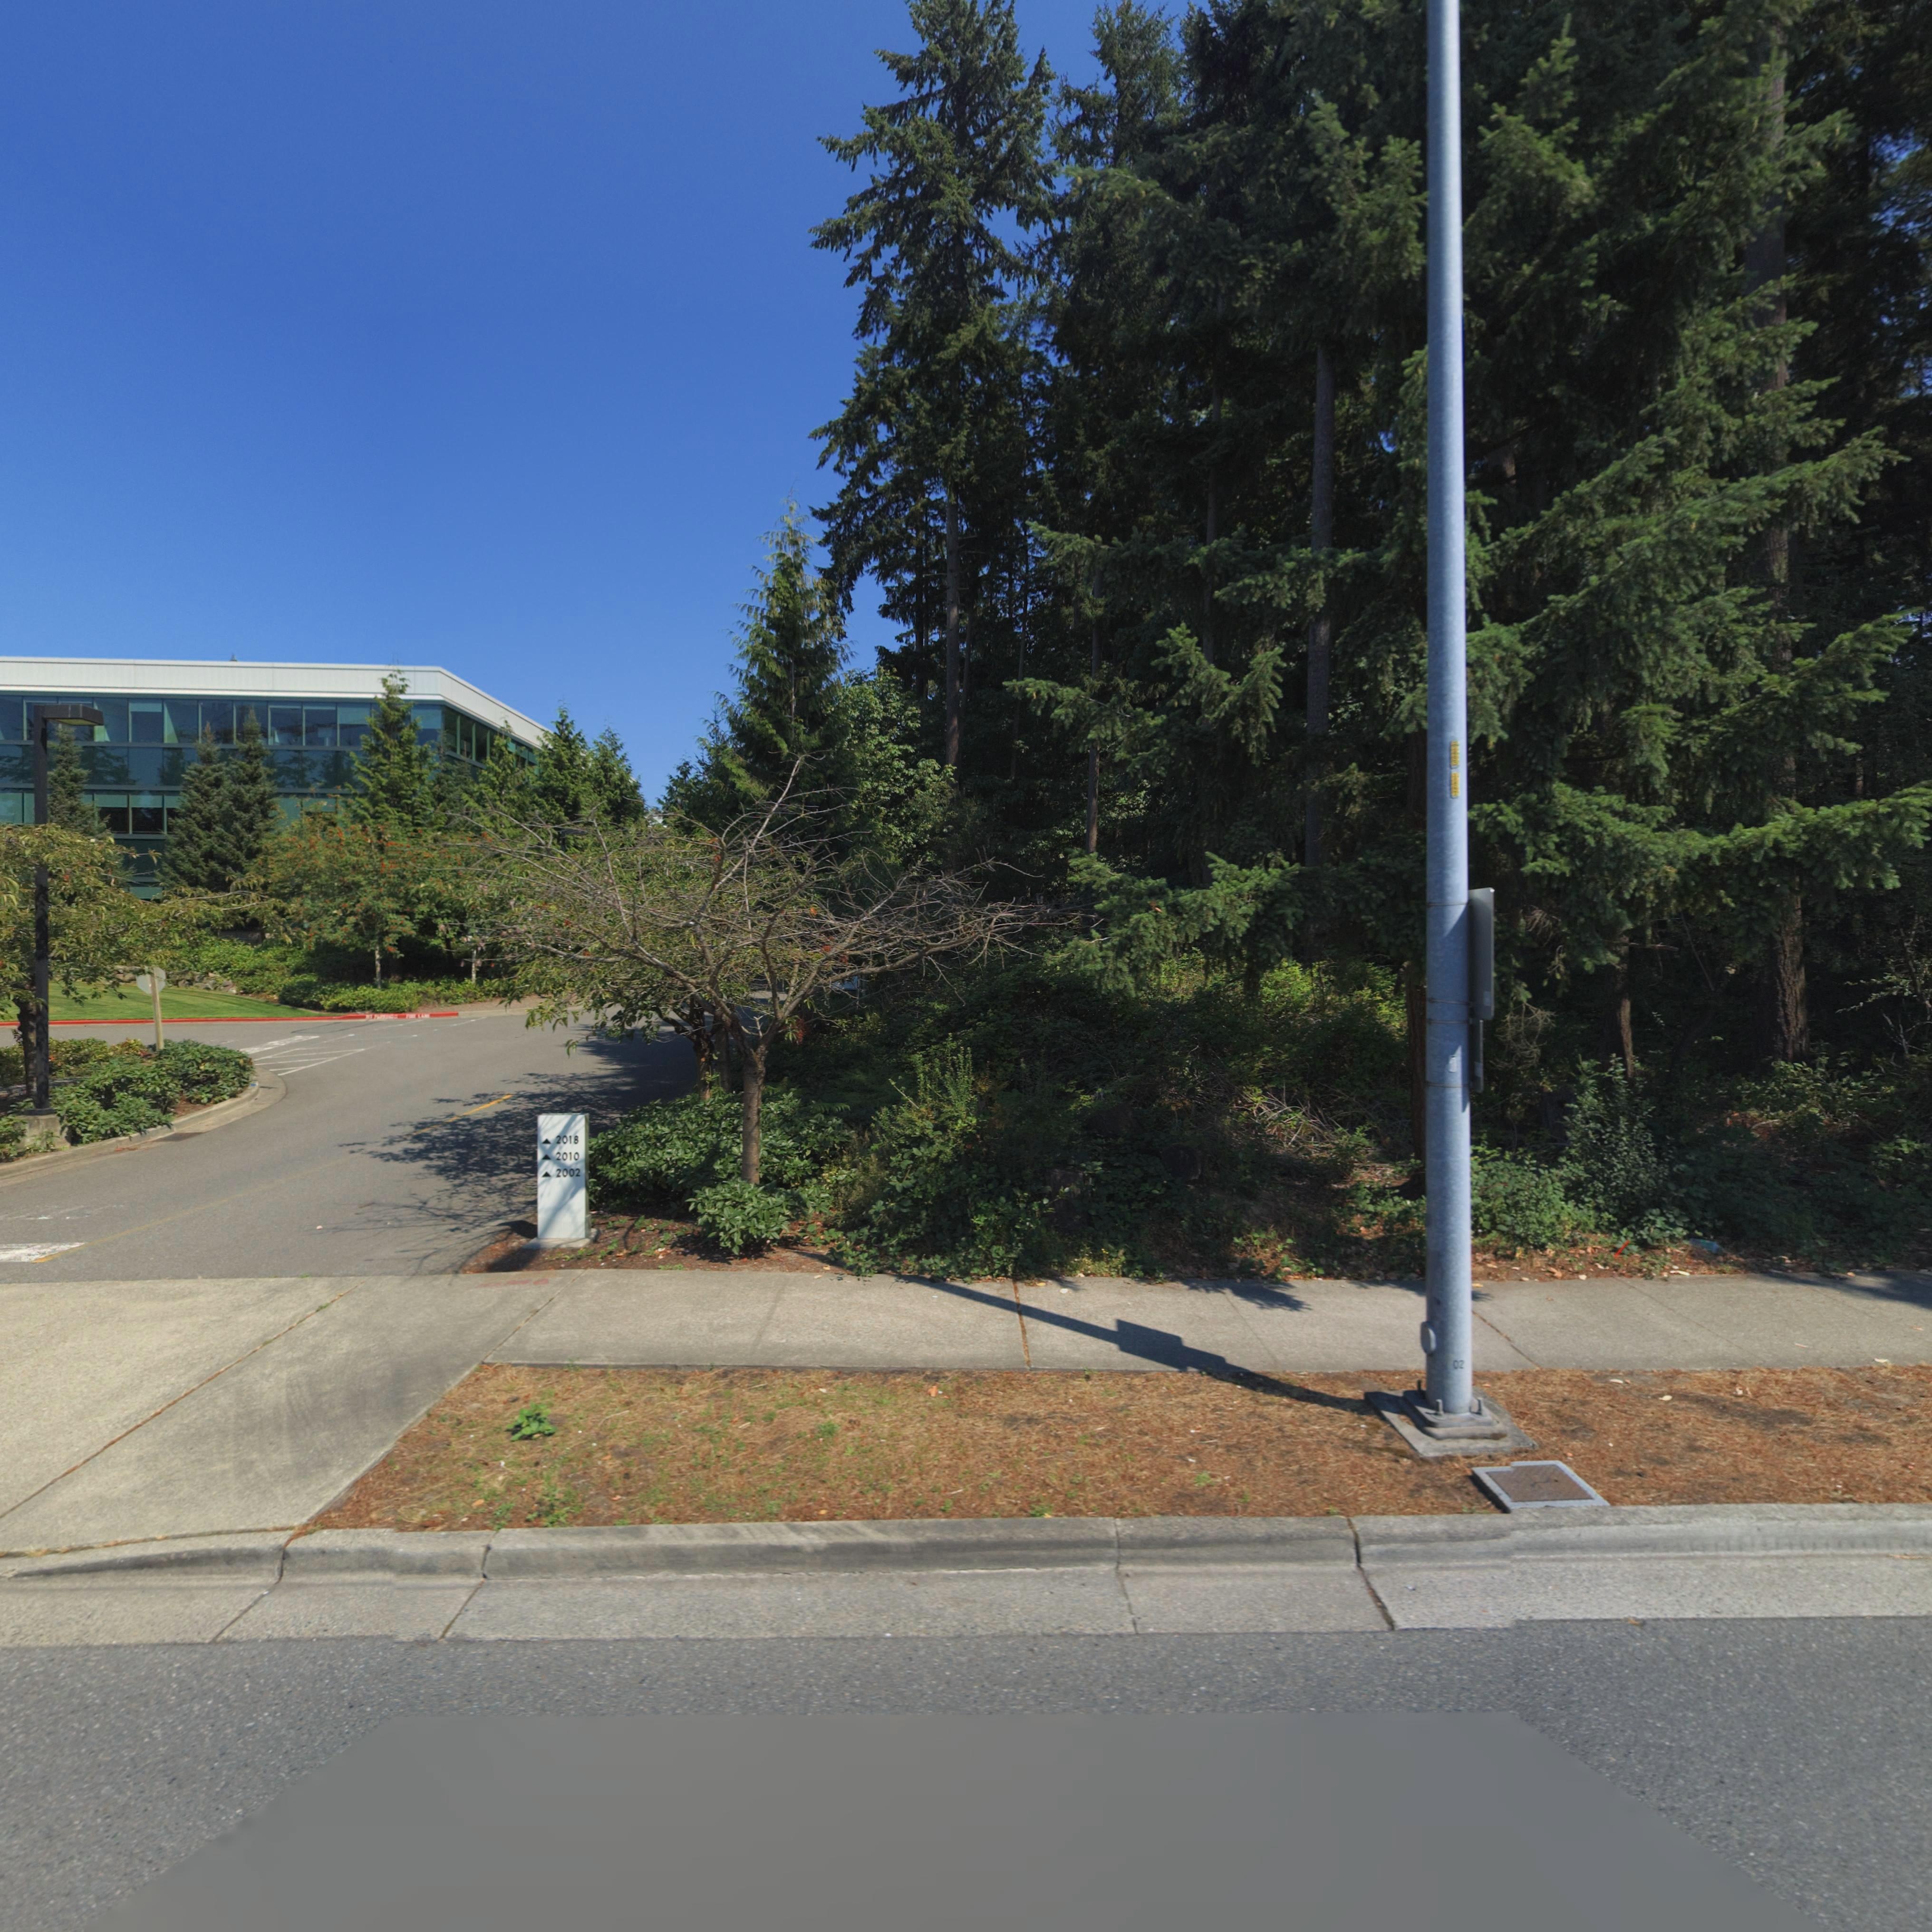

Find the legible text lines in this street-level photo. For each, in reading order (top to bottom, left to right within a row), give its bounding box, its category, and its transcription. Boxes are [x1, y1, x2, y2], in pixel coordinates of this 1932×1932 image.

[556, 1131, 579, 1144] StreetNumber: 2018
[554, 1152, 579, 1163] StreetNumber: 2010
[555, 1167, 580, 1178] StreetNumber: 2002